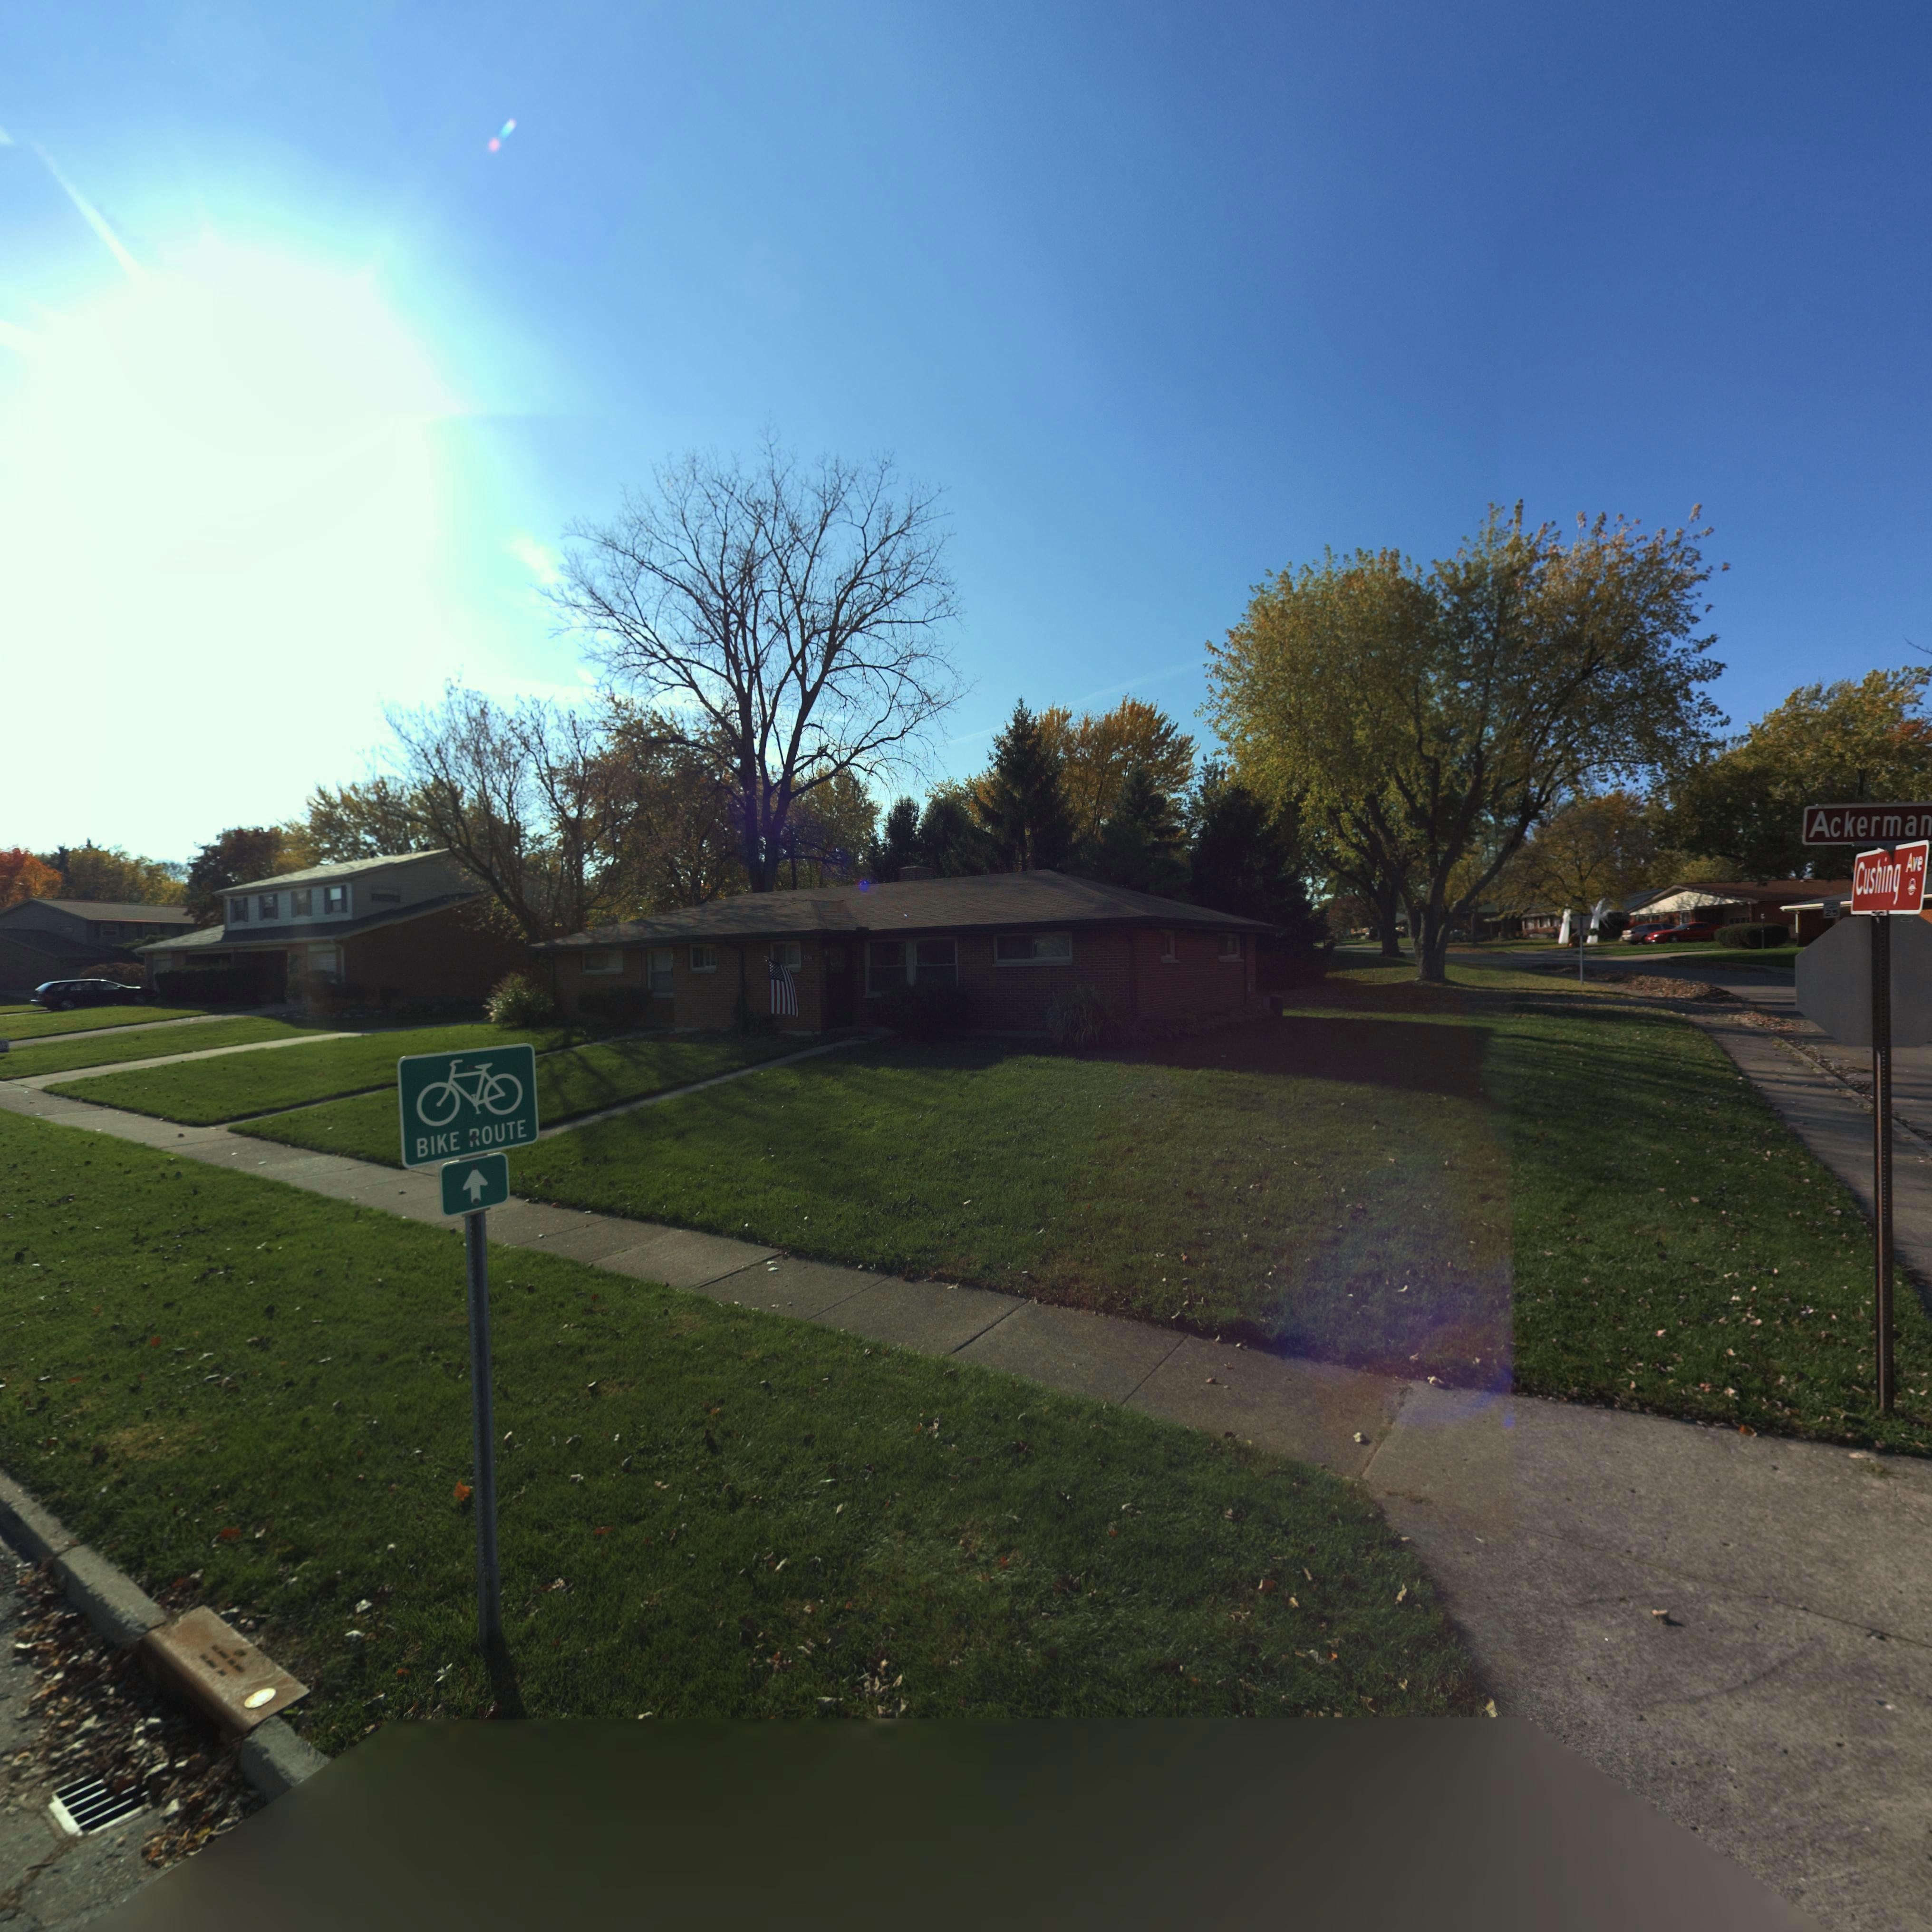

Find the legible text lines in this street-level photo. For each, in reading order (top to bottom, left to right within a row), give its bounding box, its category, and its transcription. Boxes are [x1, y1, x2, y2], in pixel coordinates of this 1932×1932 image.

[1807, 810, 1932, 839] StreetName: Ackerman
[1855, 851, 1924, 907] StreetName: Cushing Ave
[802, 955, 811, 960] StreetNumber: 3201